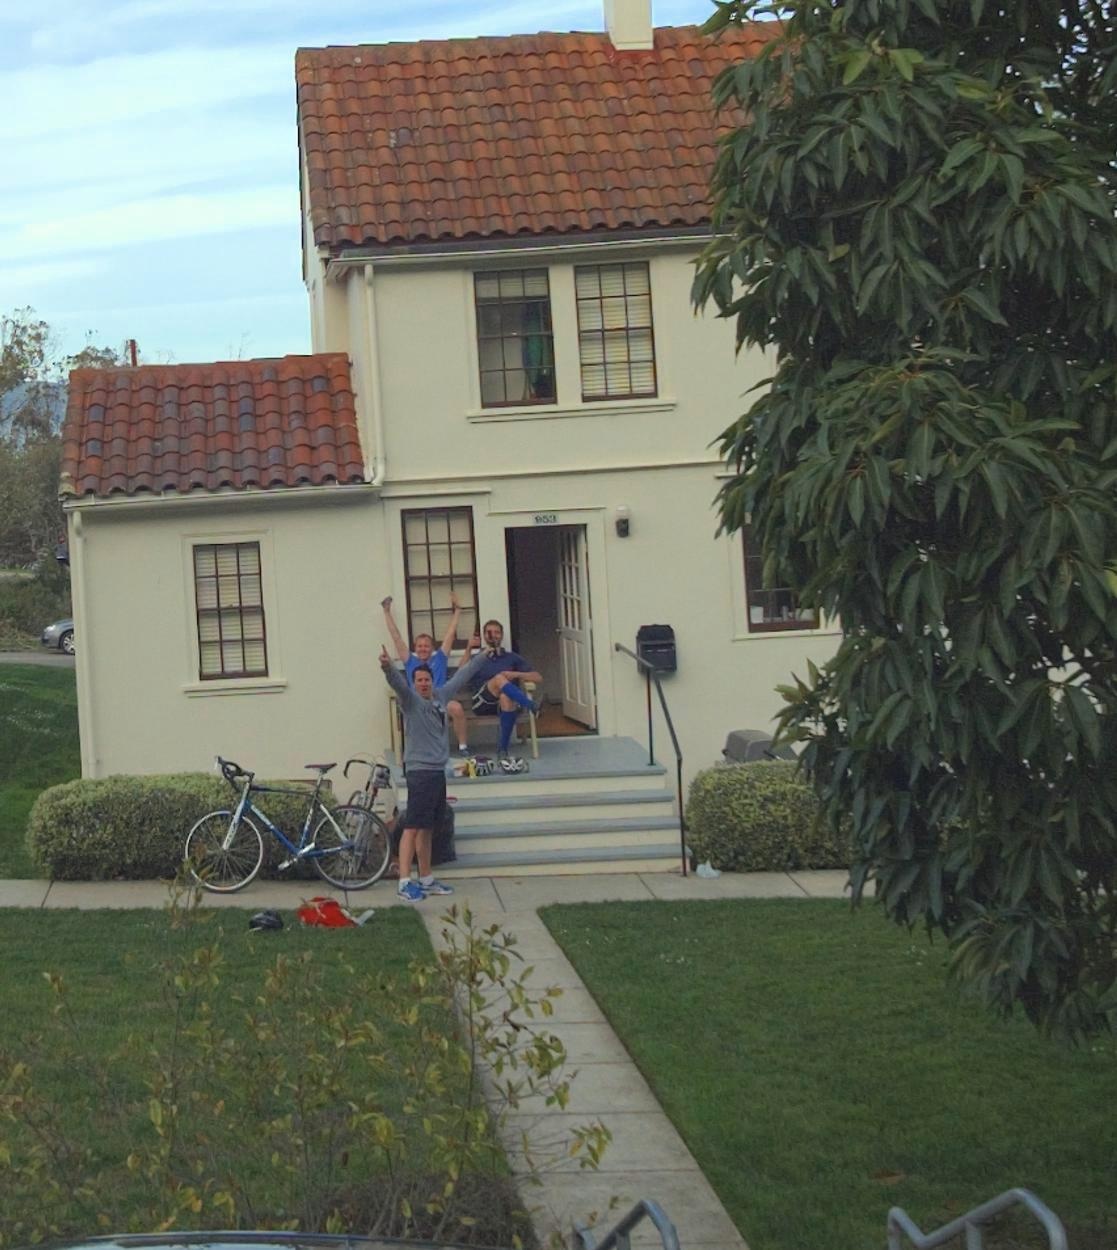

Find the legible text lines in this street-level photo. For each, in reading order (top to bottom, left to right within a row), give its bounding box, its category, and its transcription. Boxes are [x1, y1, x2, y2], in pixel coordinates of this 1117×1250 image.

[534, 513, 558, 524] StreetNumber: 953